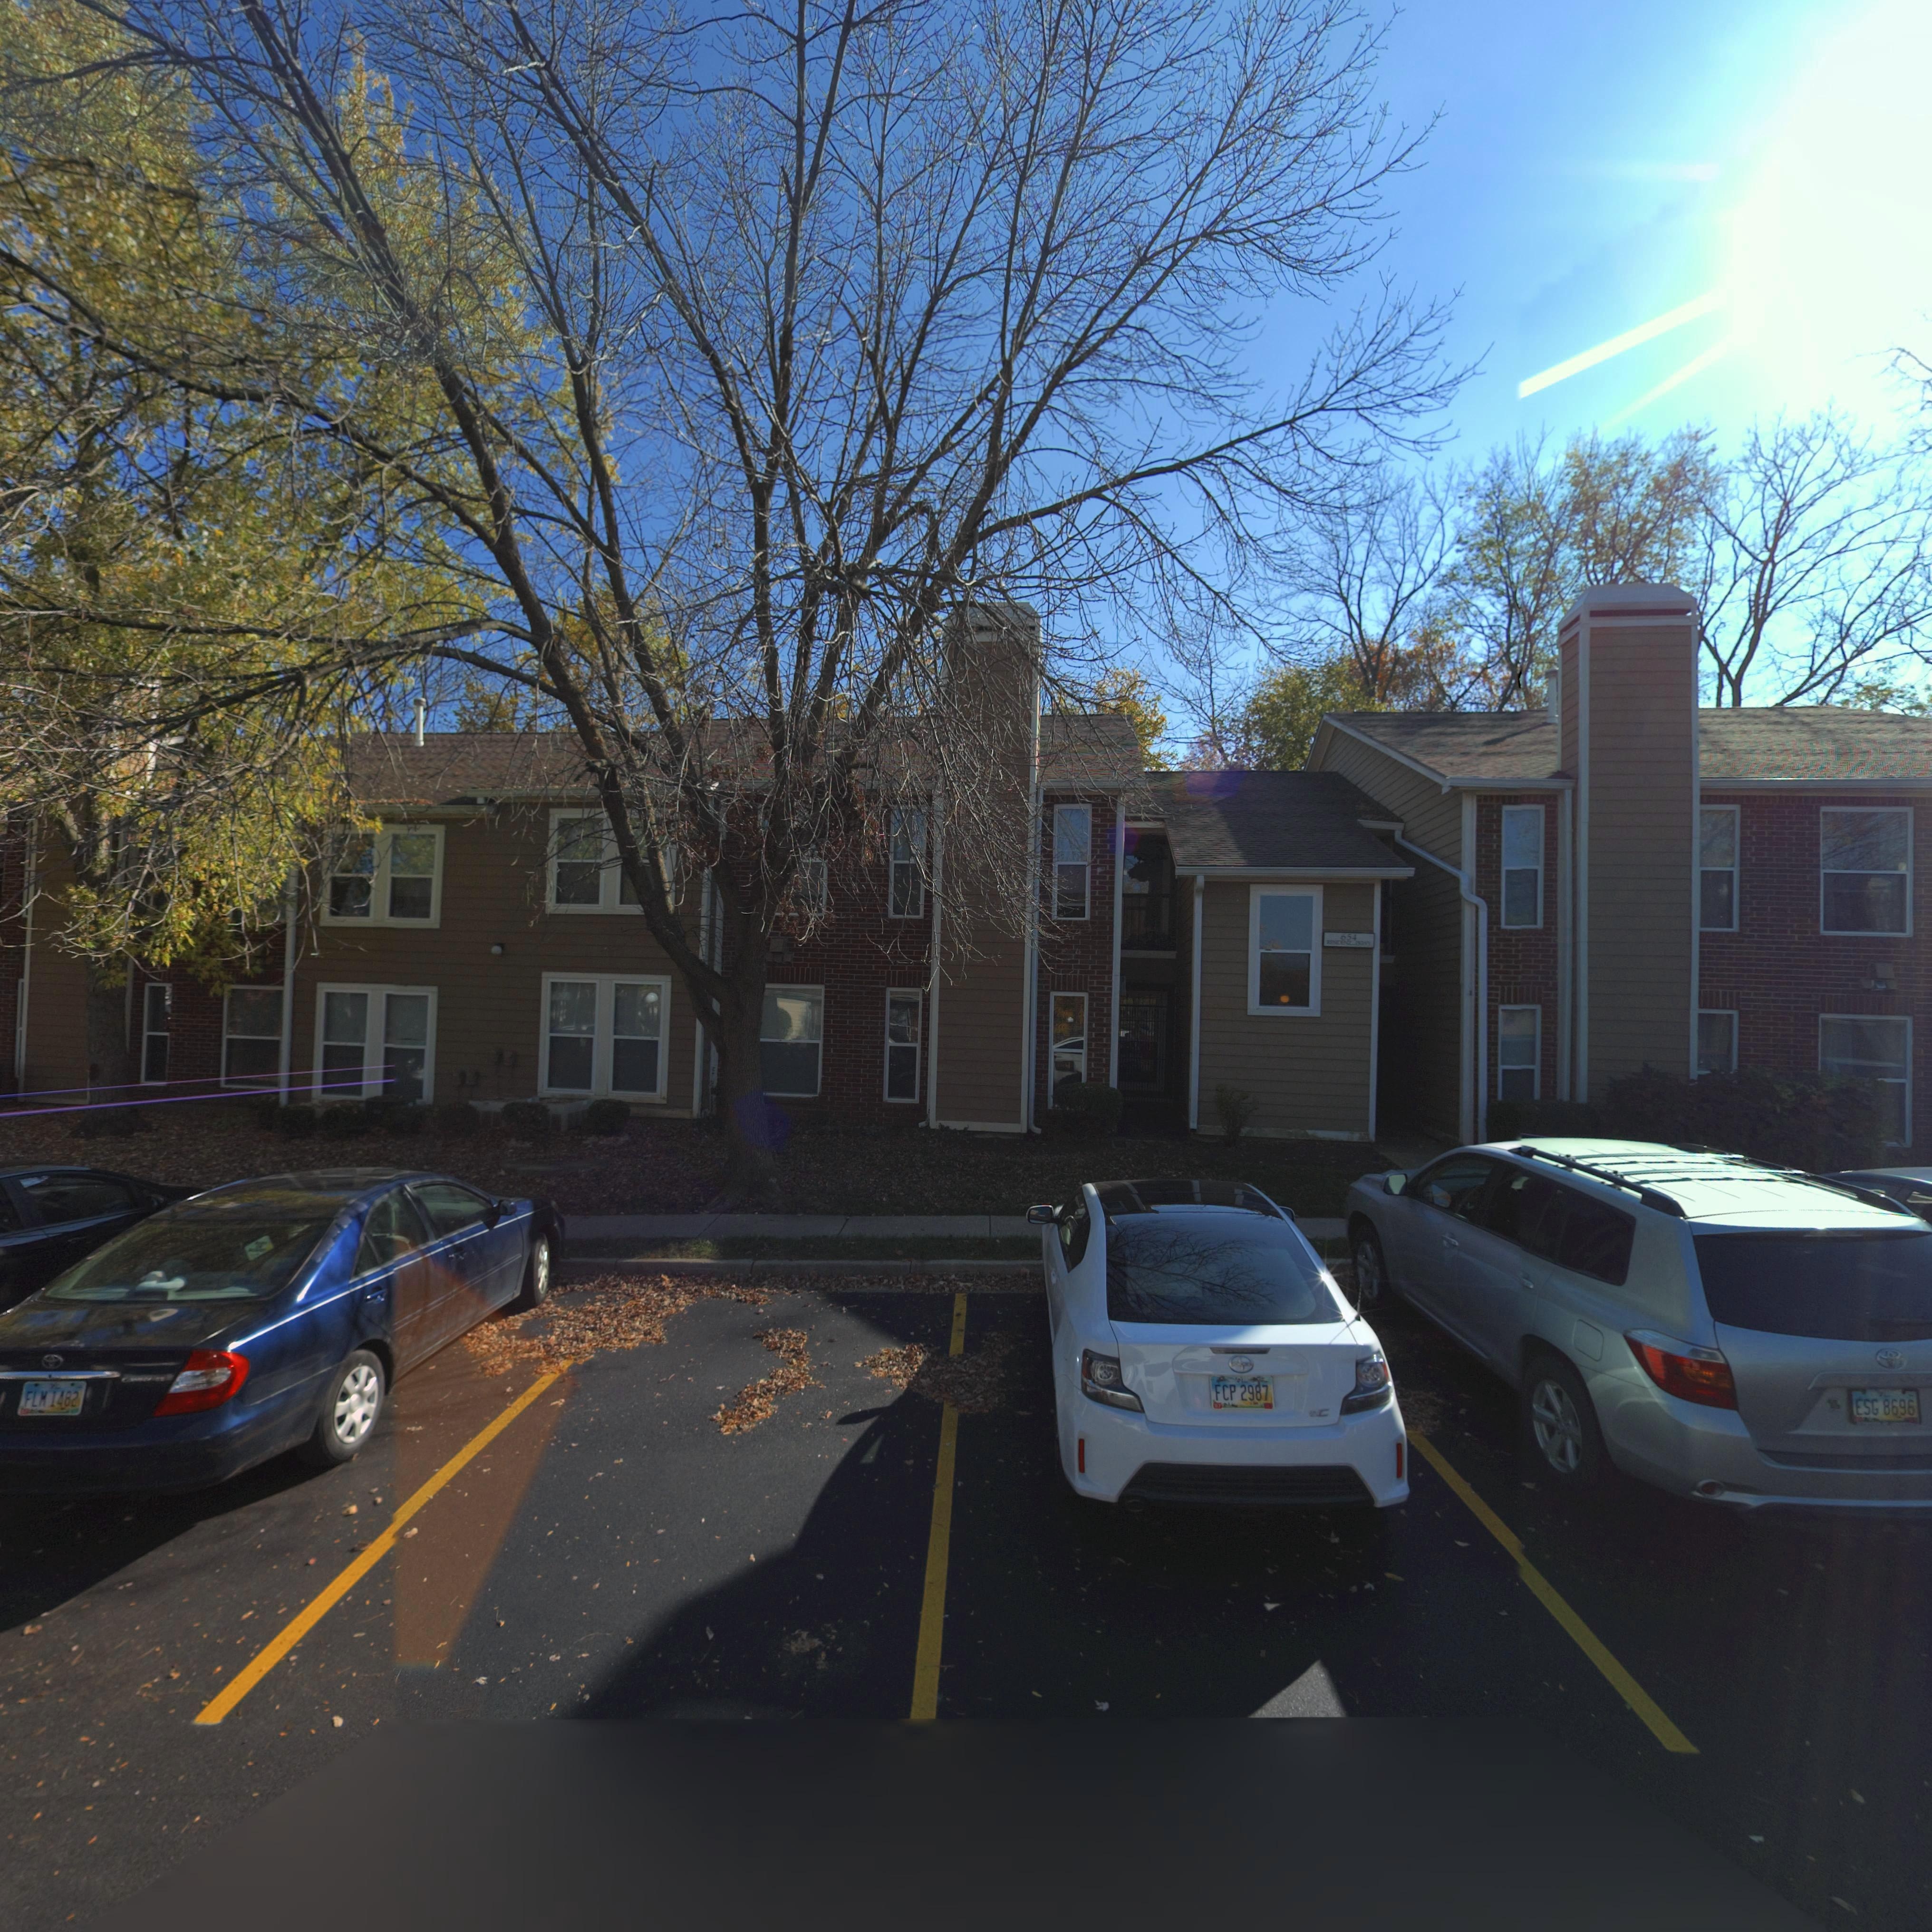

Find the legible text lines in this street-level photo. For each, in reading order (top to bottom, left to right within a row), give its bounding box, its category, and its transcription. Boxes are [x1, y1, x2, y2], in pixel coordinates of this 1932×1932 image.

[1340, 932, 1358, 941] StreetNumber: 654
[23, 1389, 81, 1409] None: FLM 1482
[1214, 1383, 1269, 1402] None: FCP 2987
[1853, 1395, 1917, 1418] None: ESG 8696